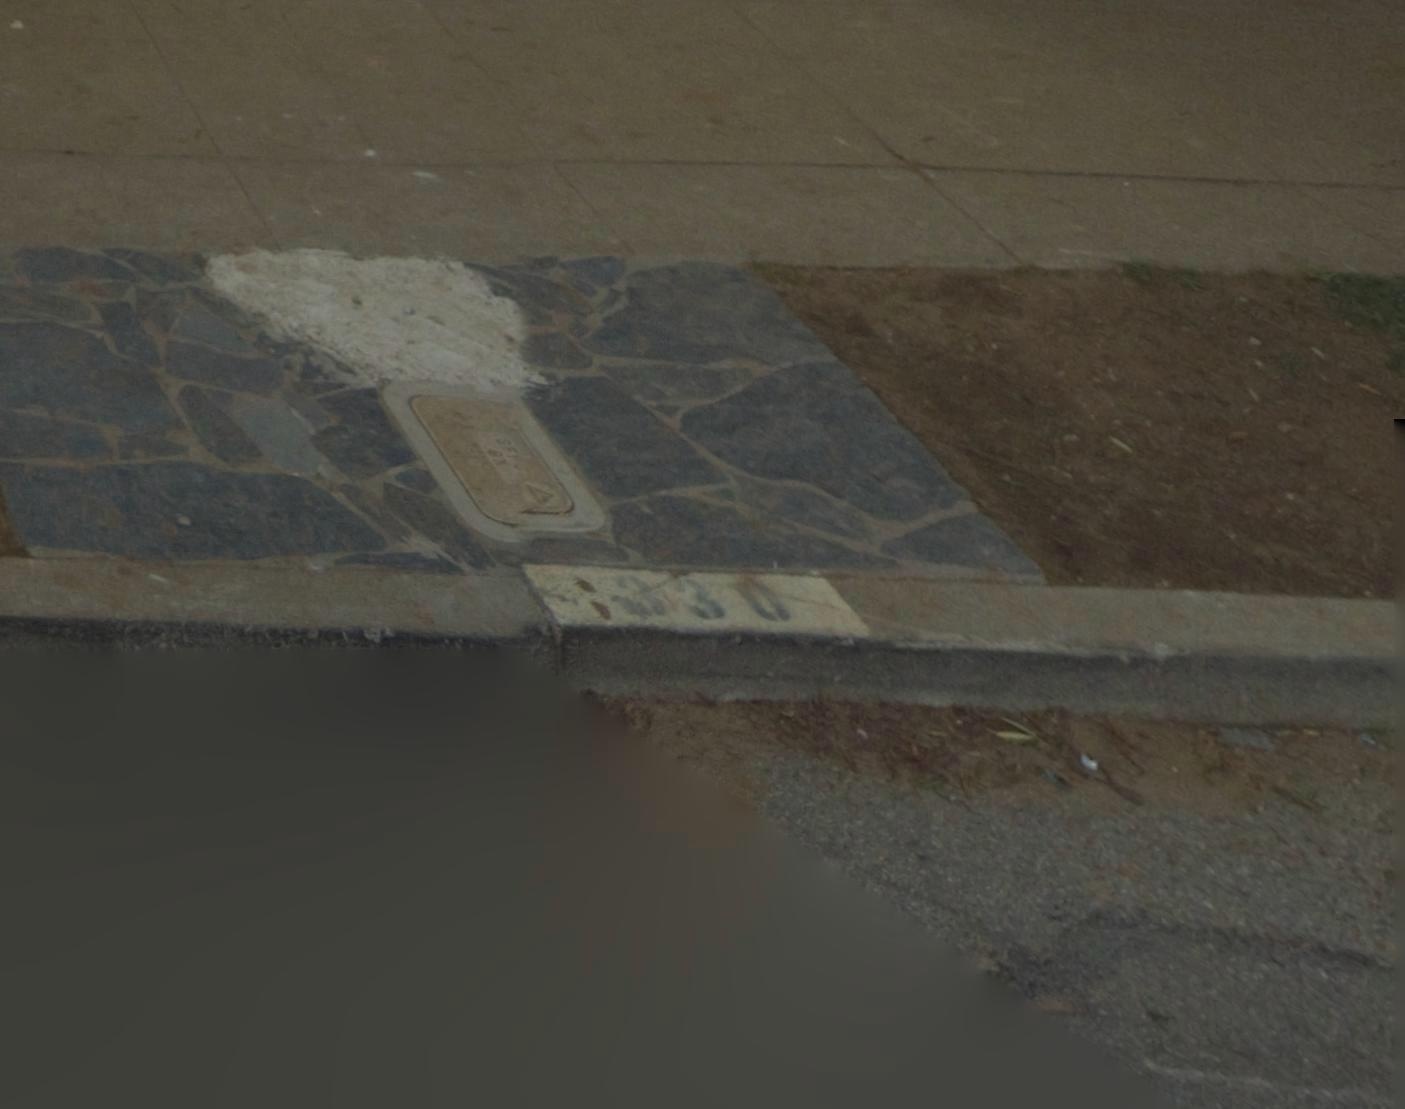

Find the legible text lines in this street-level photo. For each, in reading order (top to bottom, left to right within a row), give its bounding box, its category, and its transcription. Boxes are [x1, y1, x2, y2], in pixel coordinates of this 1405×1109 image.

[613, 574, 802, 623] StreetNumber: 330